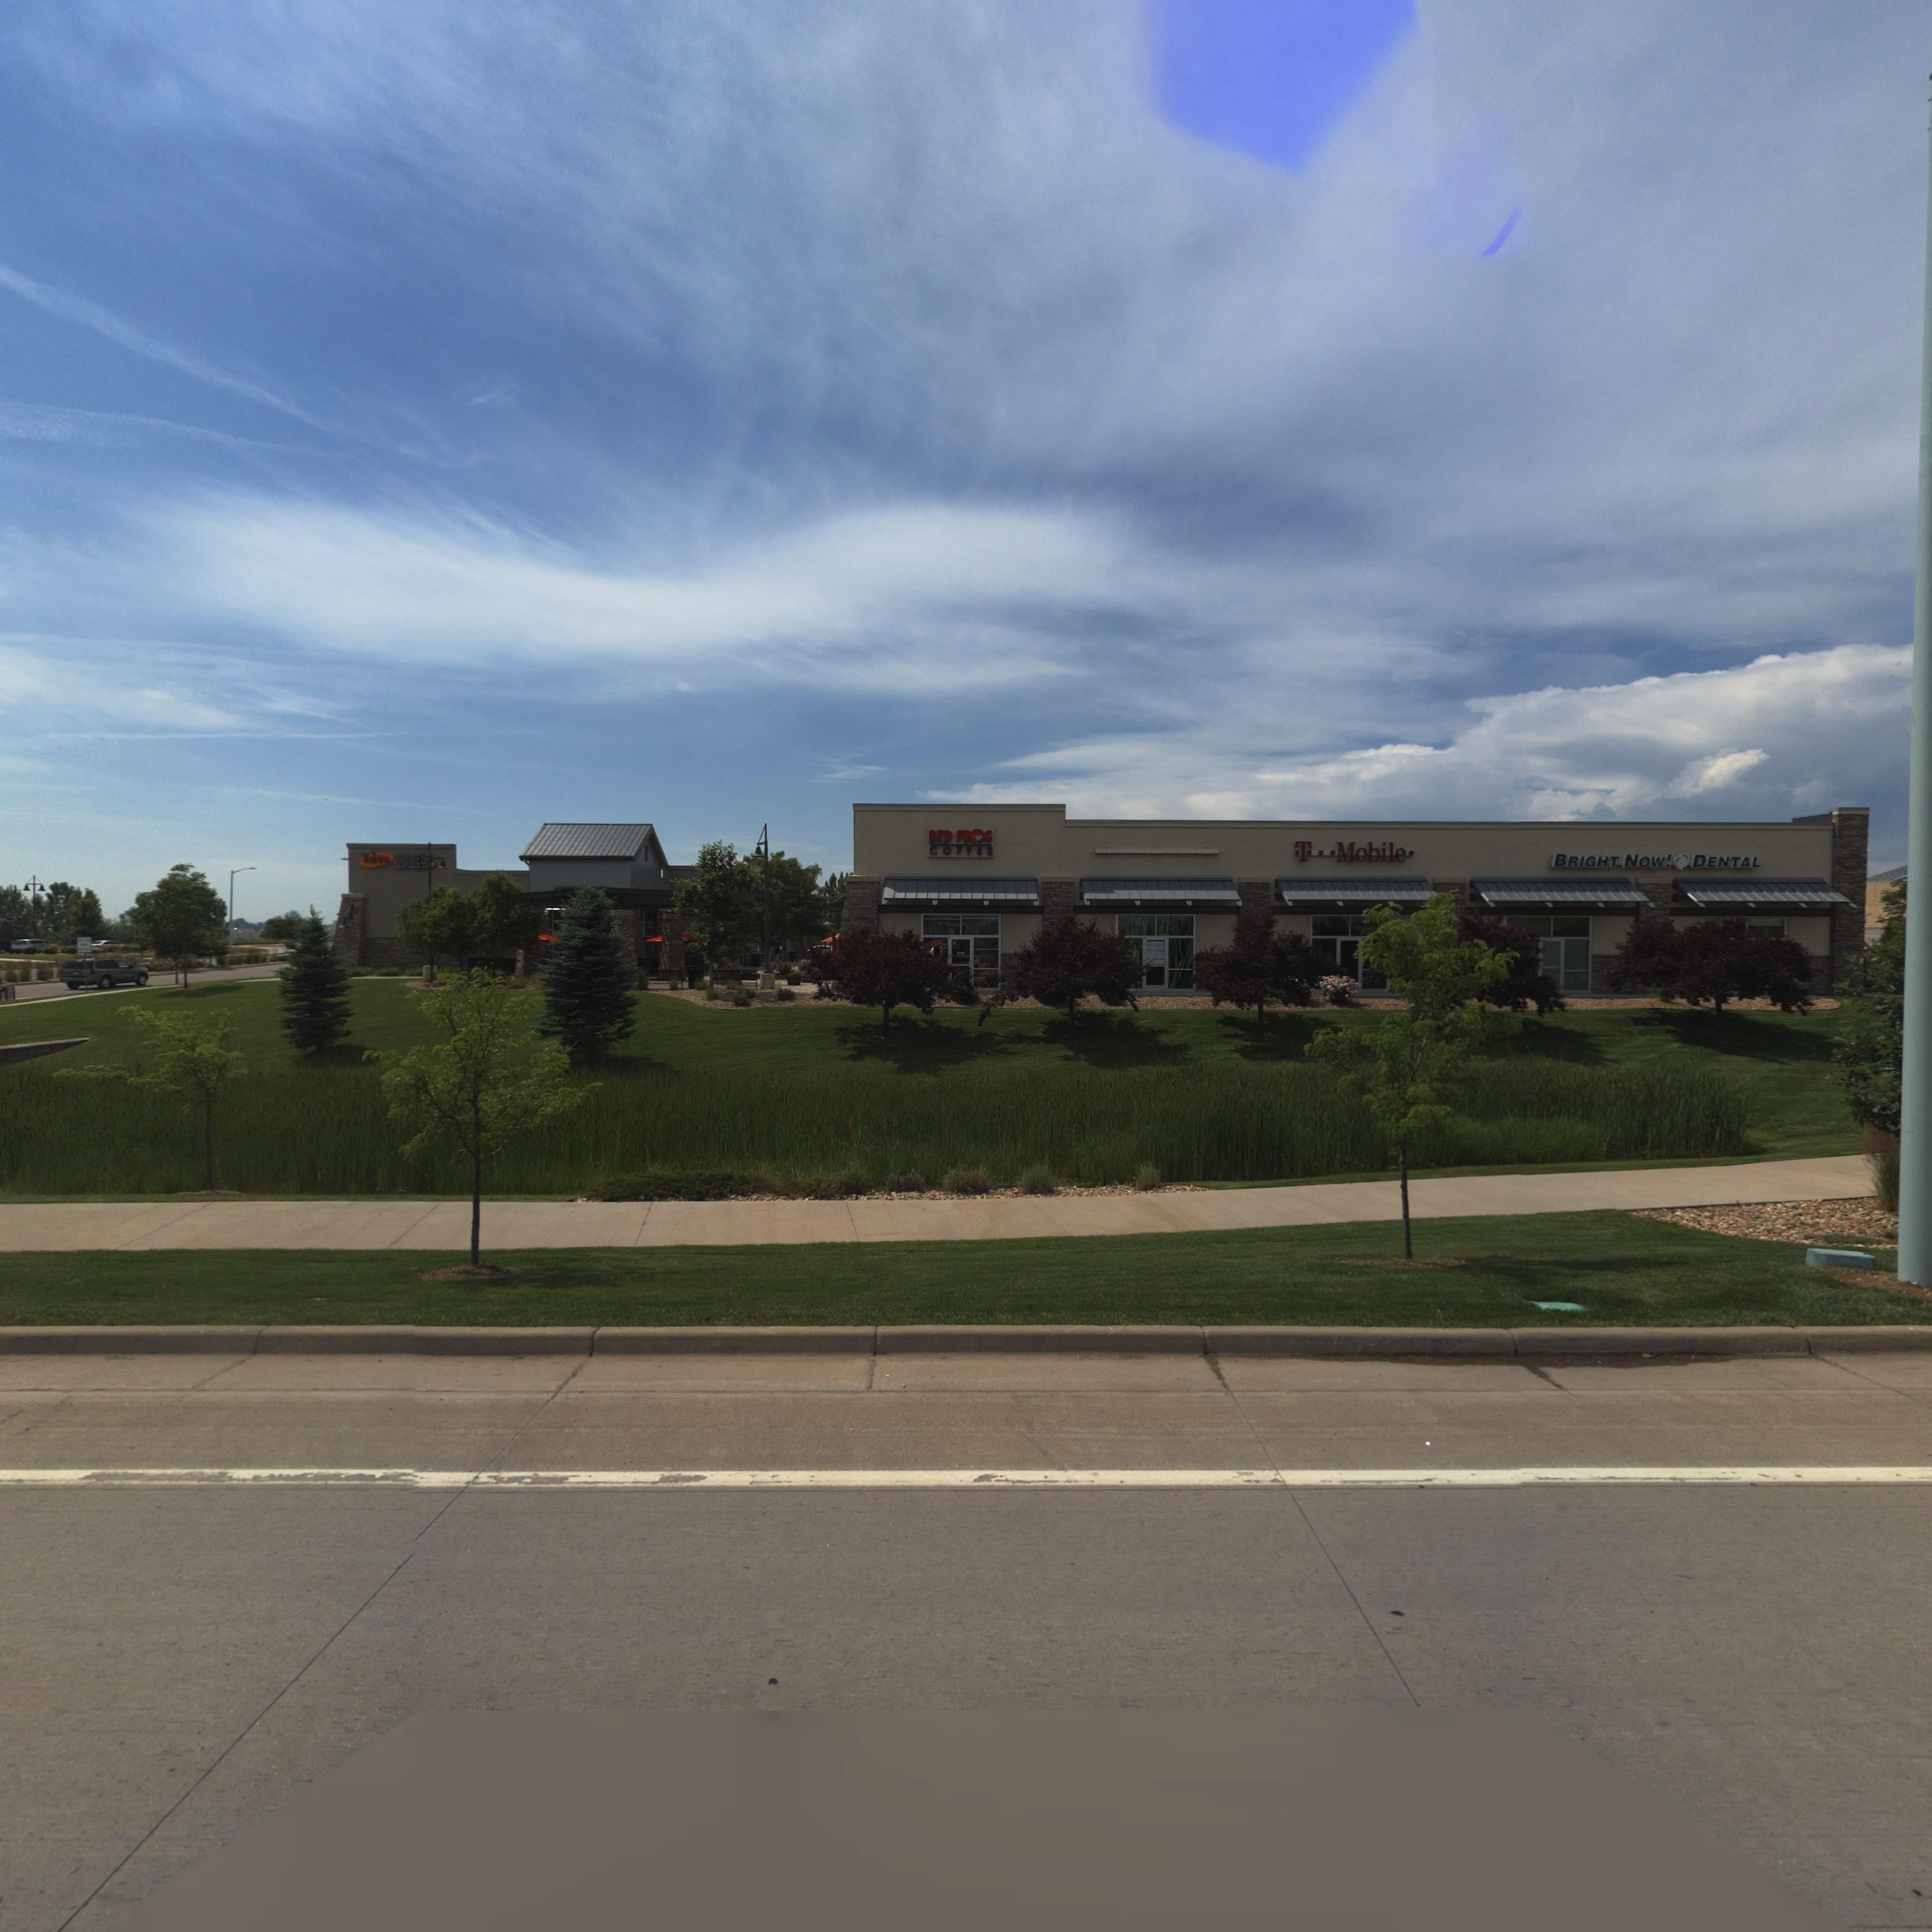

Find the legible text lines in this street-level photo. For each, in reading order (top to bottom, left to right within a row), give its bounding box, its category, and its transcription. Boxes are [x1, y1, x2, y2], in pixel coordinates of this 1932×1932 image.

[928, 828, 994, 844] BusinessName: RED FROG
[928, 845, 993, 856] BusinessName: COFFEE
[1294, 840, 1408, 863] BusinessName: T***Mobile
[359, 851, 433, 869] BusinessName: Tokyo *OEE'S
[1551, 853, 1762, 869] BusinessName: BRIGHT NOW!* DENTAL